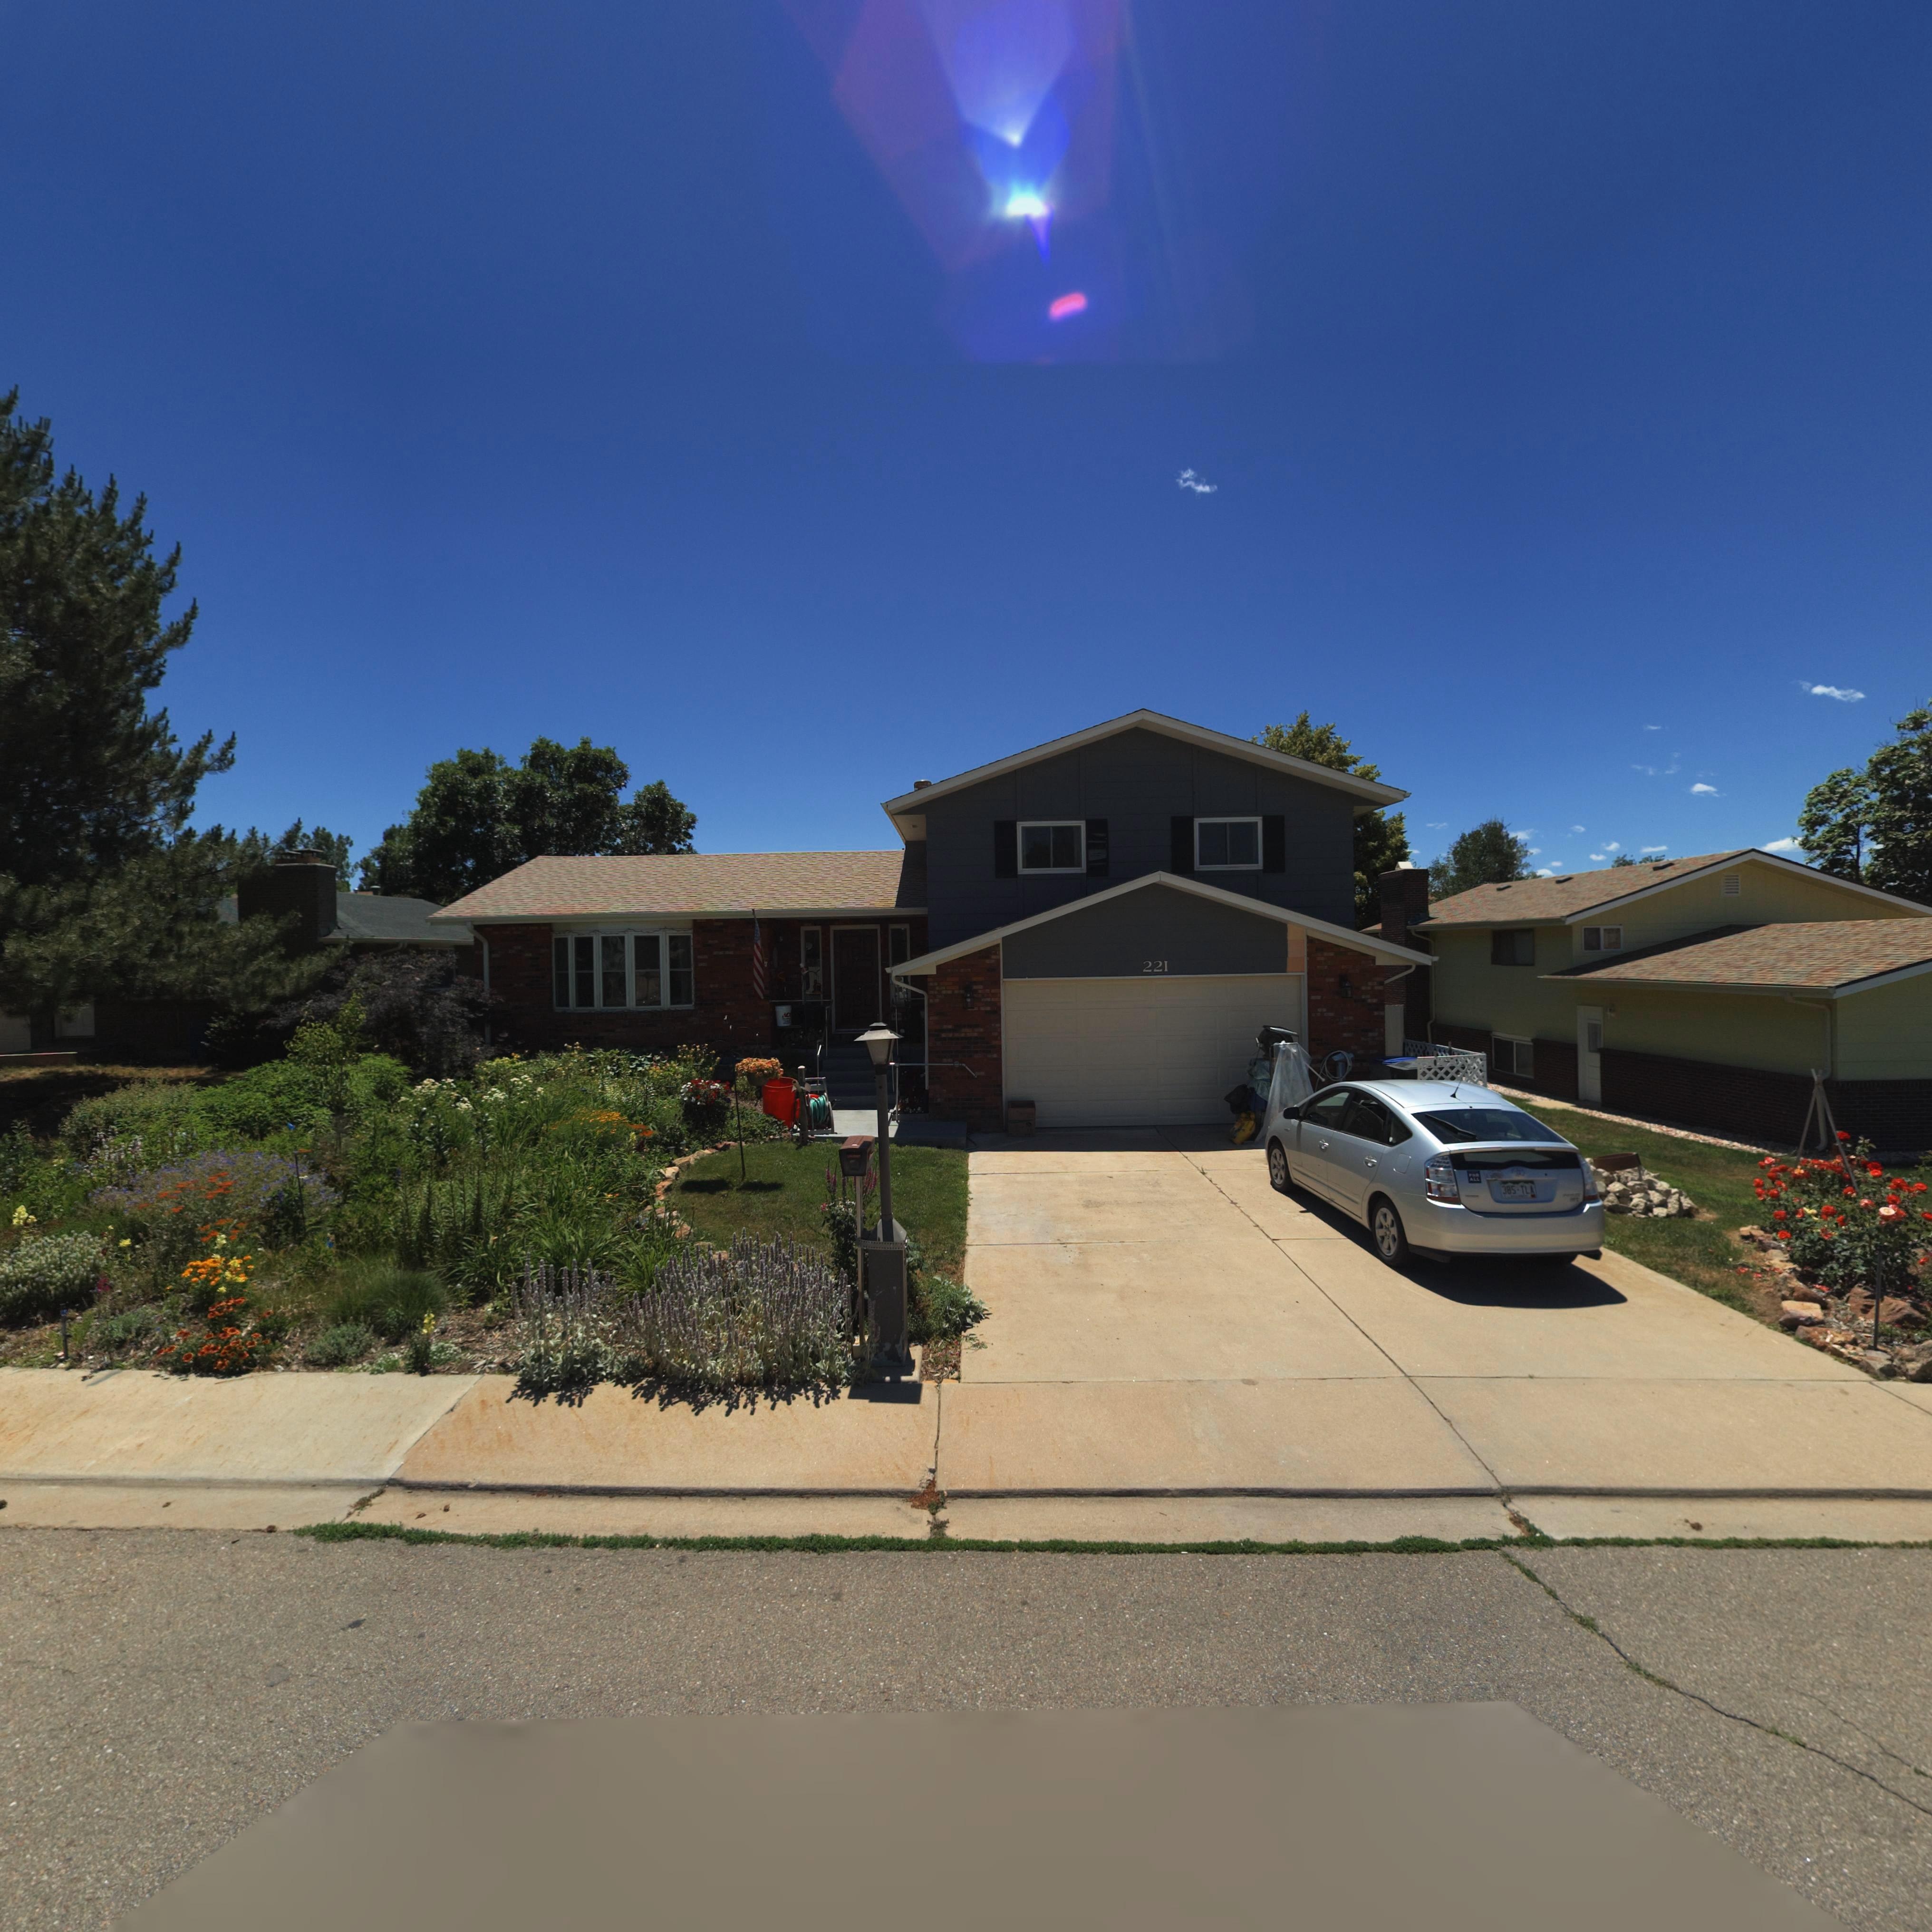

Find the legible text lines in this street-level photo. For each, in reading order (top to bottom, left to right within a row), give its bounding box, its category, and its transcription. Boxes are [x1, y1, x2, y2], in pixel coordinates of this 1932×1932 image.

[1142, 960, 1168, 972] StreetNumber: 221